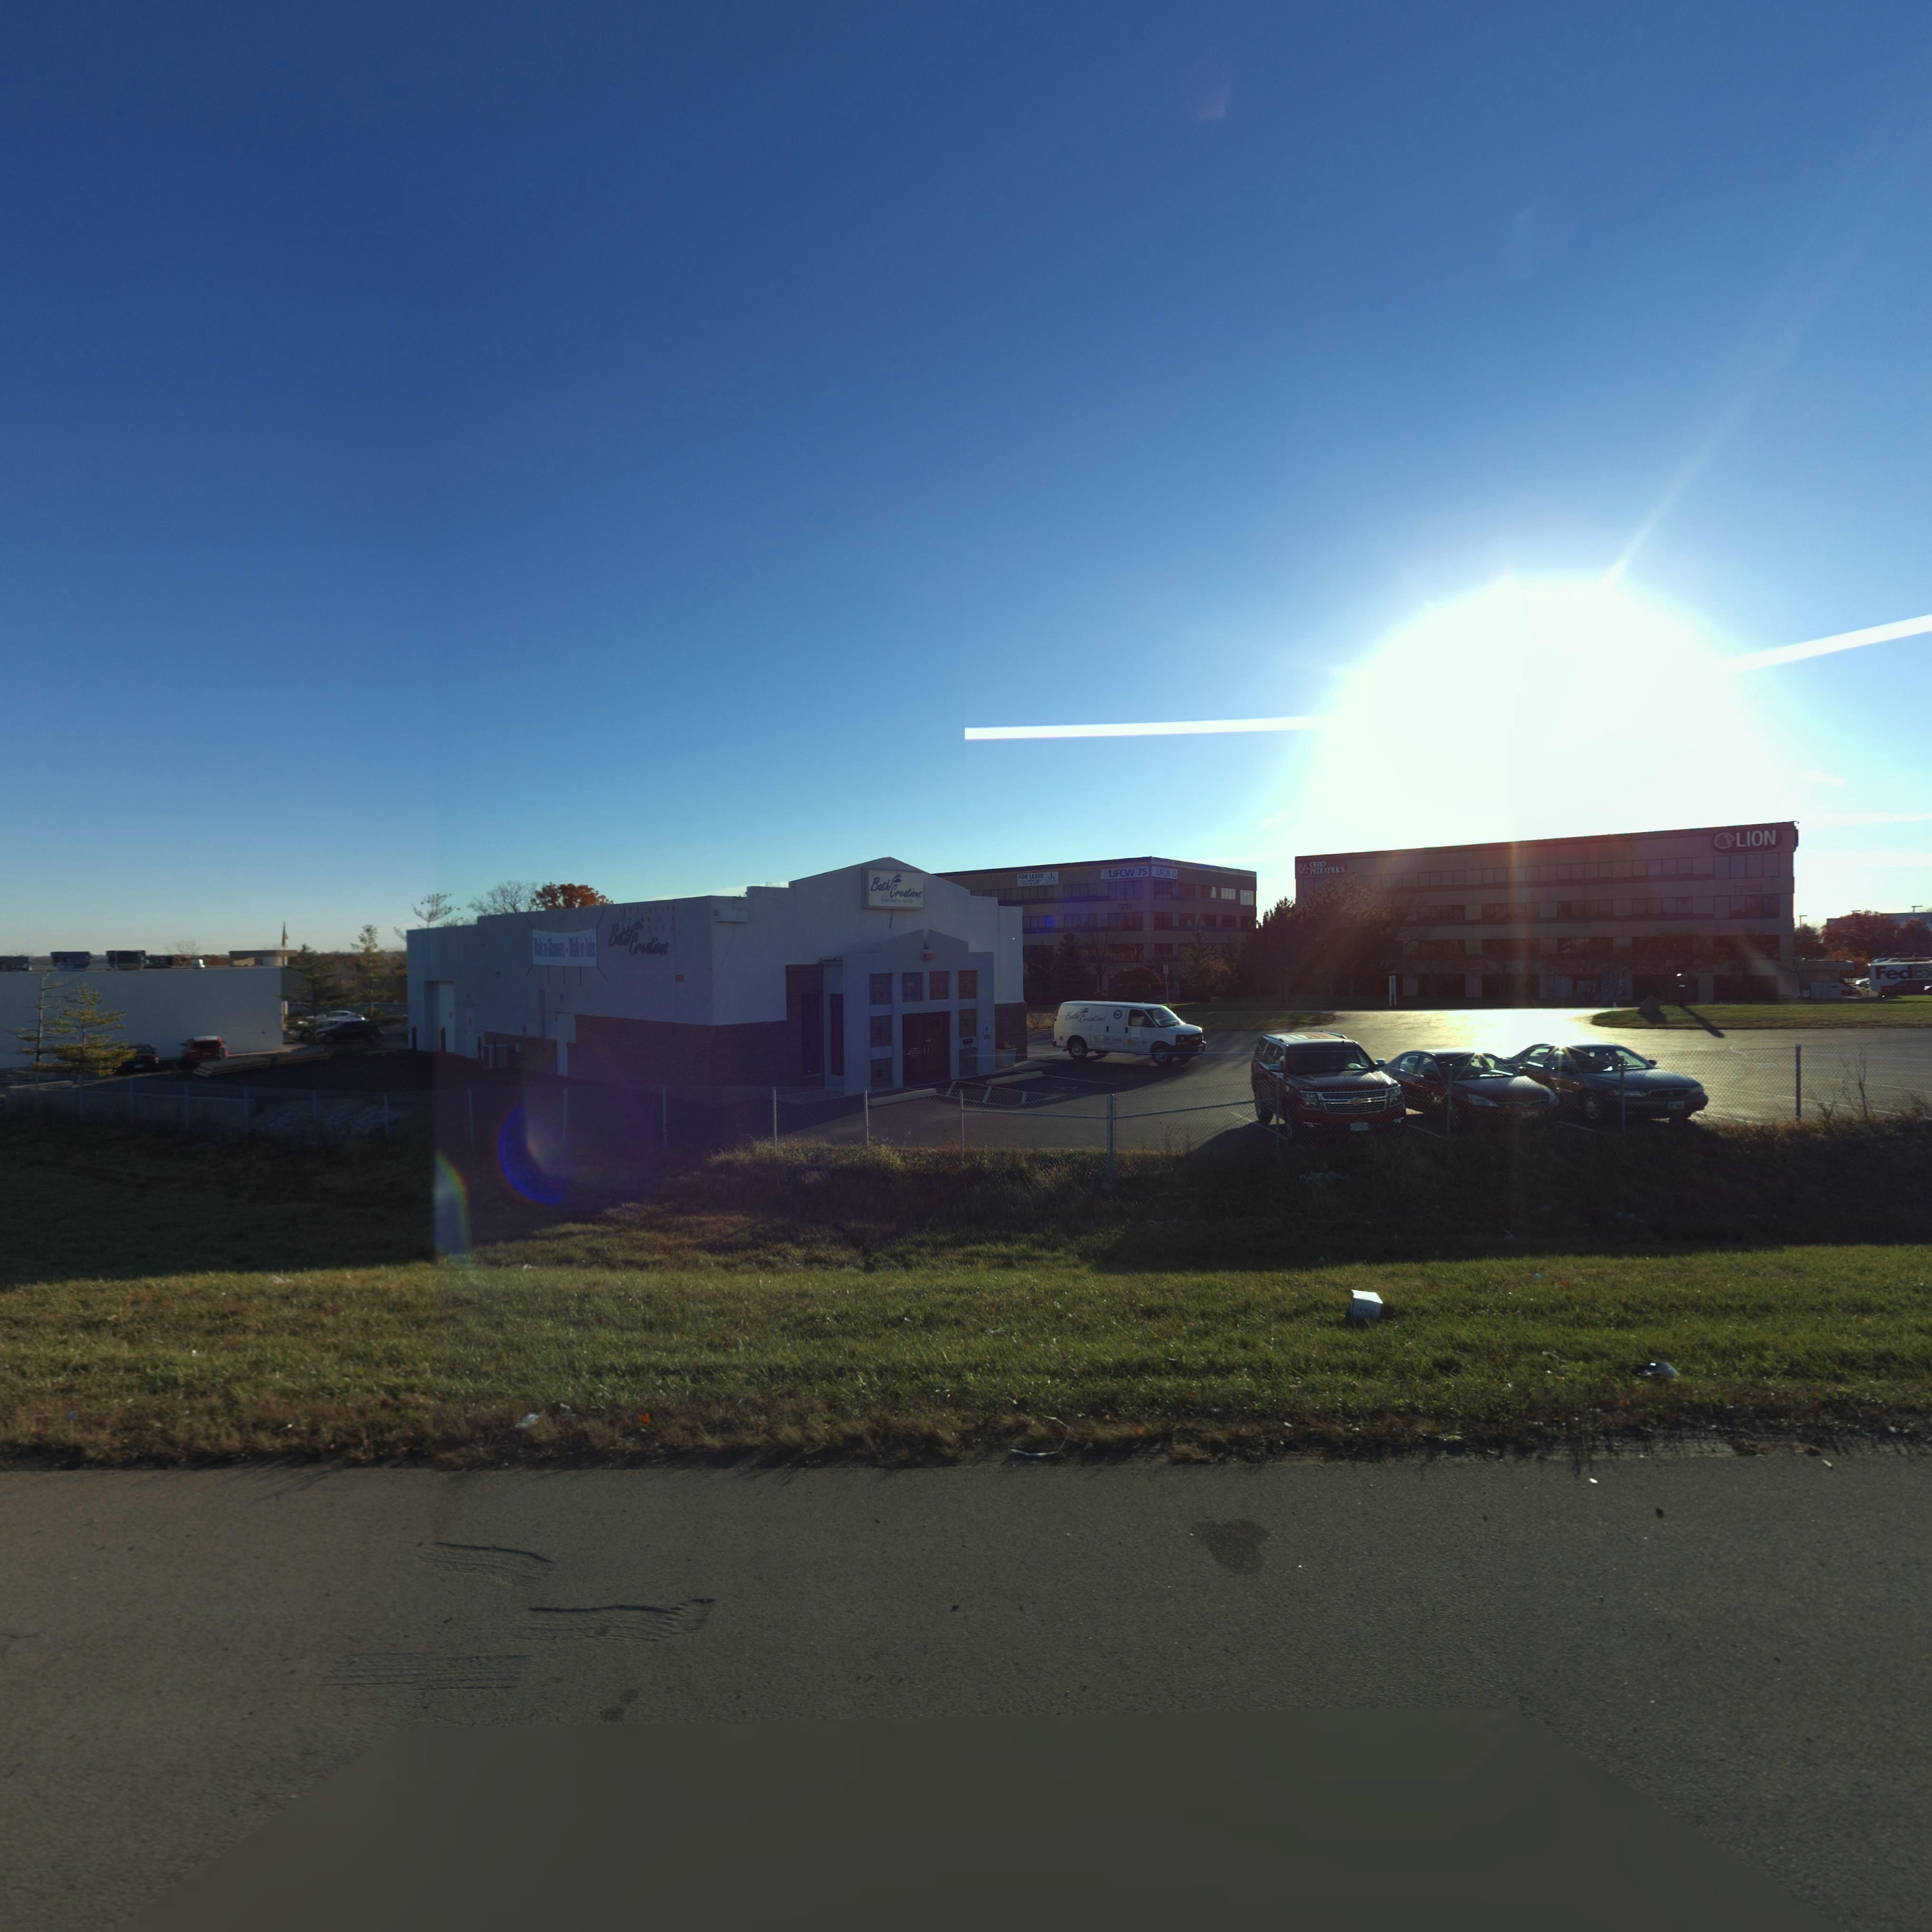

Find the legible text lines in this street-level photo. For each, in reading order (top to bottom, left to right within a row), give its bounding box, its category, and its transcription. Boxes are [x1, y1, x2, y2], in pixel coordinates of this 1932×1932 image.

[1736, 829, 1777, 848] BusinessName: LION
[1017, 872, 1044, 880] None: FOR LEASE
[1107, 866, 1149, 879] BusinessName: UFCW 75
[1155, 868, 1178, 880] BusinessName: UFCW 75
[1309, 860, 1325, 868] None: OHIO
[1310, 866, 1345, 874] None: PEDIATRICS
[869, 875, 924, 900] BusinessName: Bath Creations
[1729, 883, 1763, 895] StreetNumber: 7200
[1116, 902, 1133, 911] StreetNumber: 7250
[607, 919, 672, 959] BusinessName: Bath Creations
[1063, 1009, 1108, 1024] BusinessName: Bath Creations
[1092, 1034, 1121, 1044] None: ***-***-****